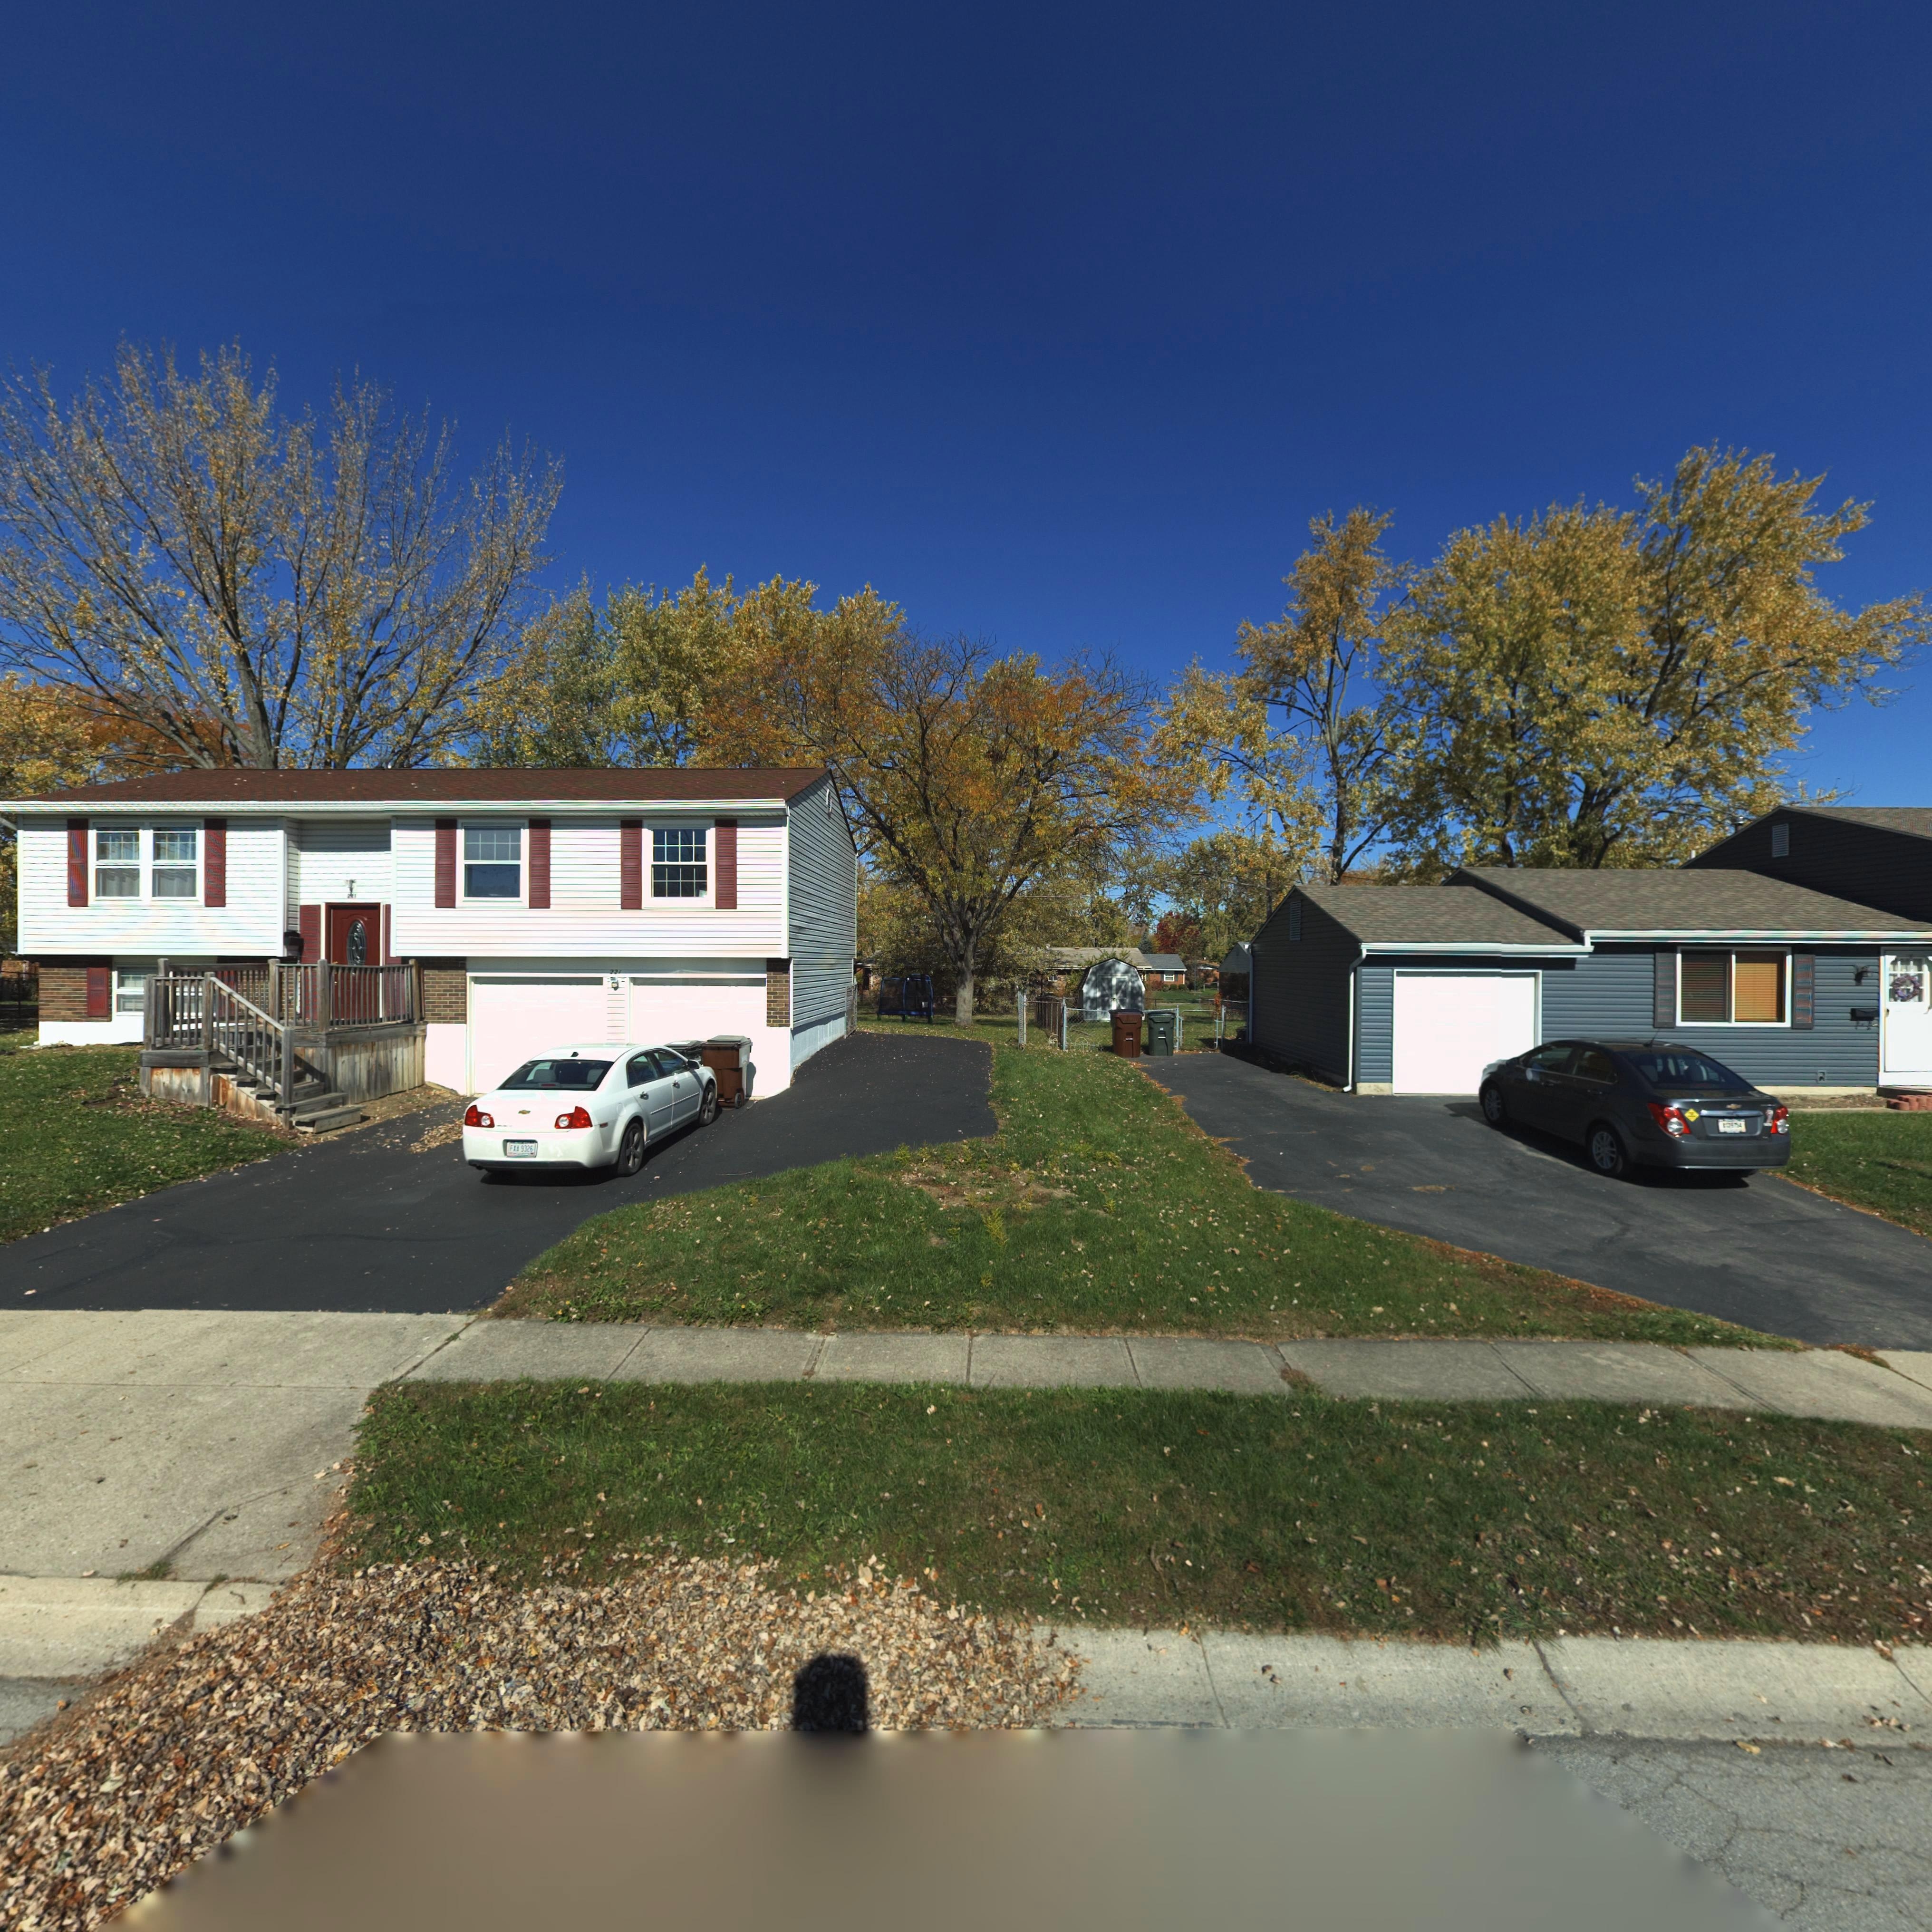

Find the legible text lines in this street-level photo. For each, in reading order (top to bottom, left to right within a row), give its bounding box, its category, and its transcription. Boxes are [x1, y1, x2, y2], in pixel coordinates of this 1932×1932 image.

[347, 893, 357, 898] StreetNumber: 2*1
[610, 969, 622, 975] StreetNumber: 221